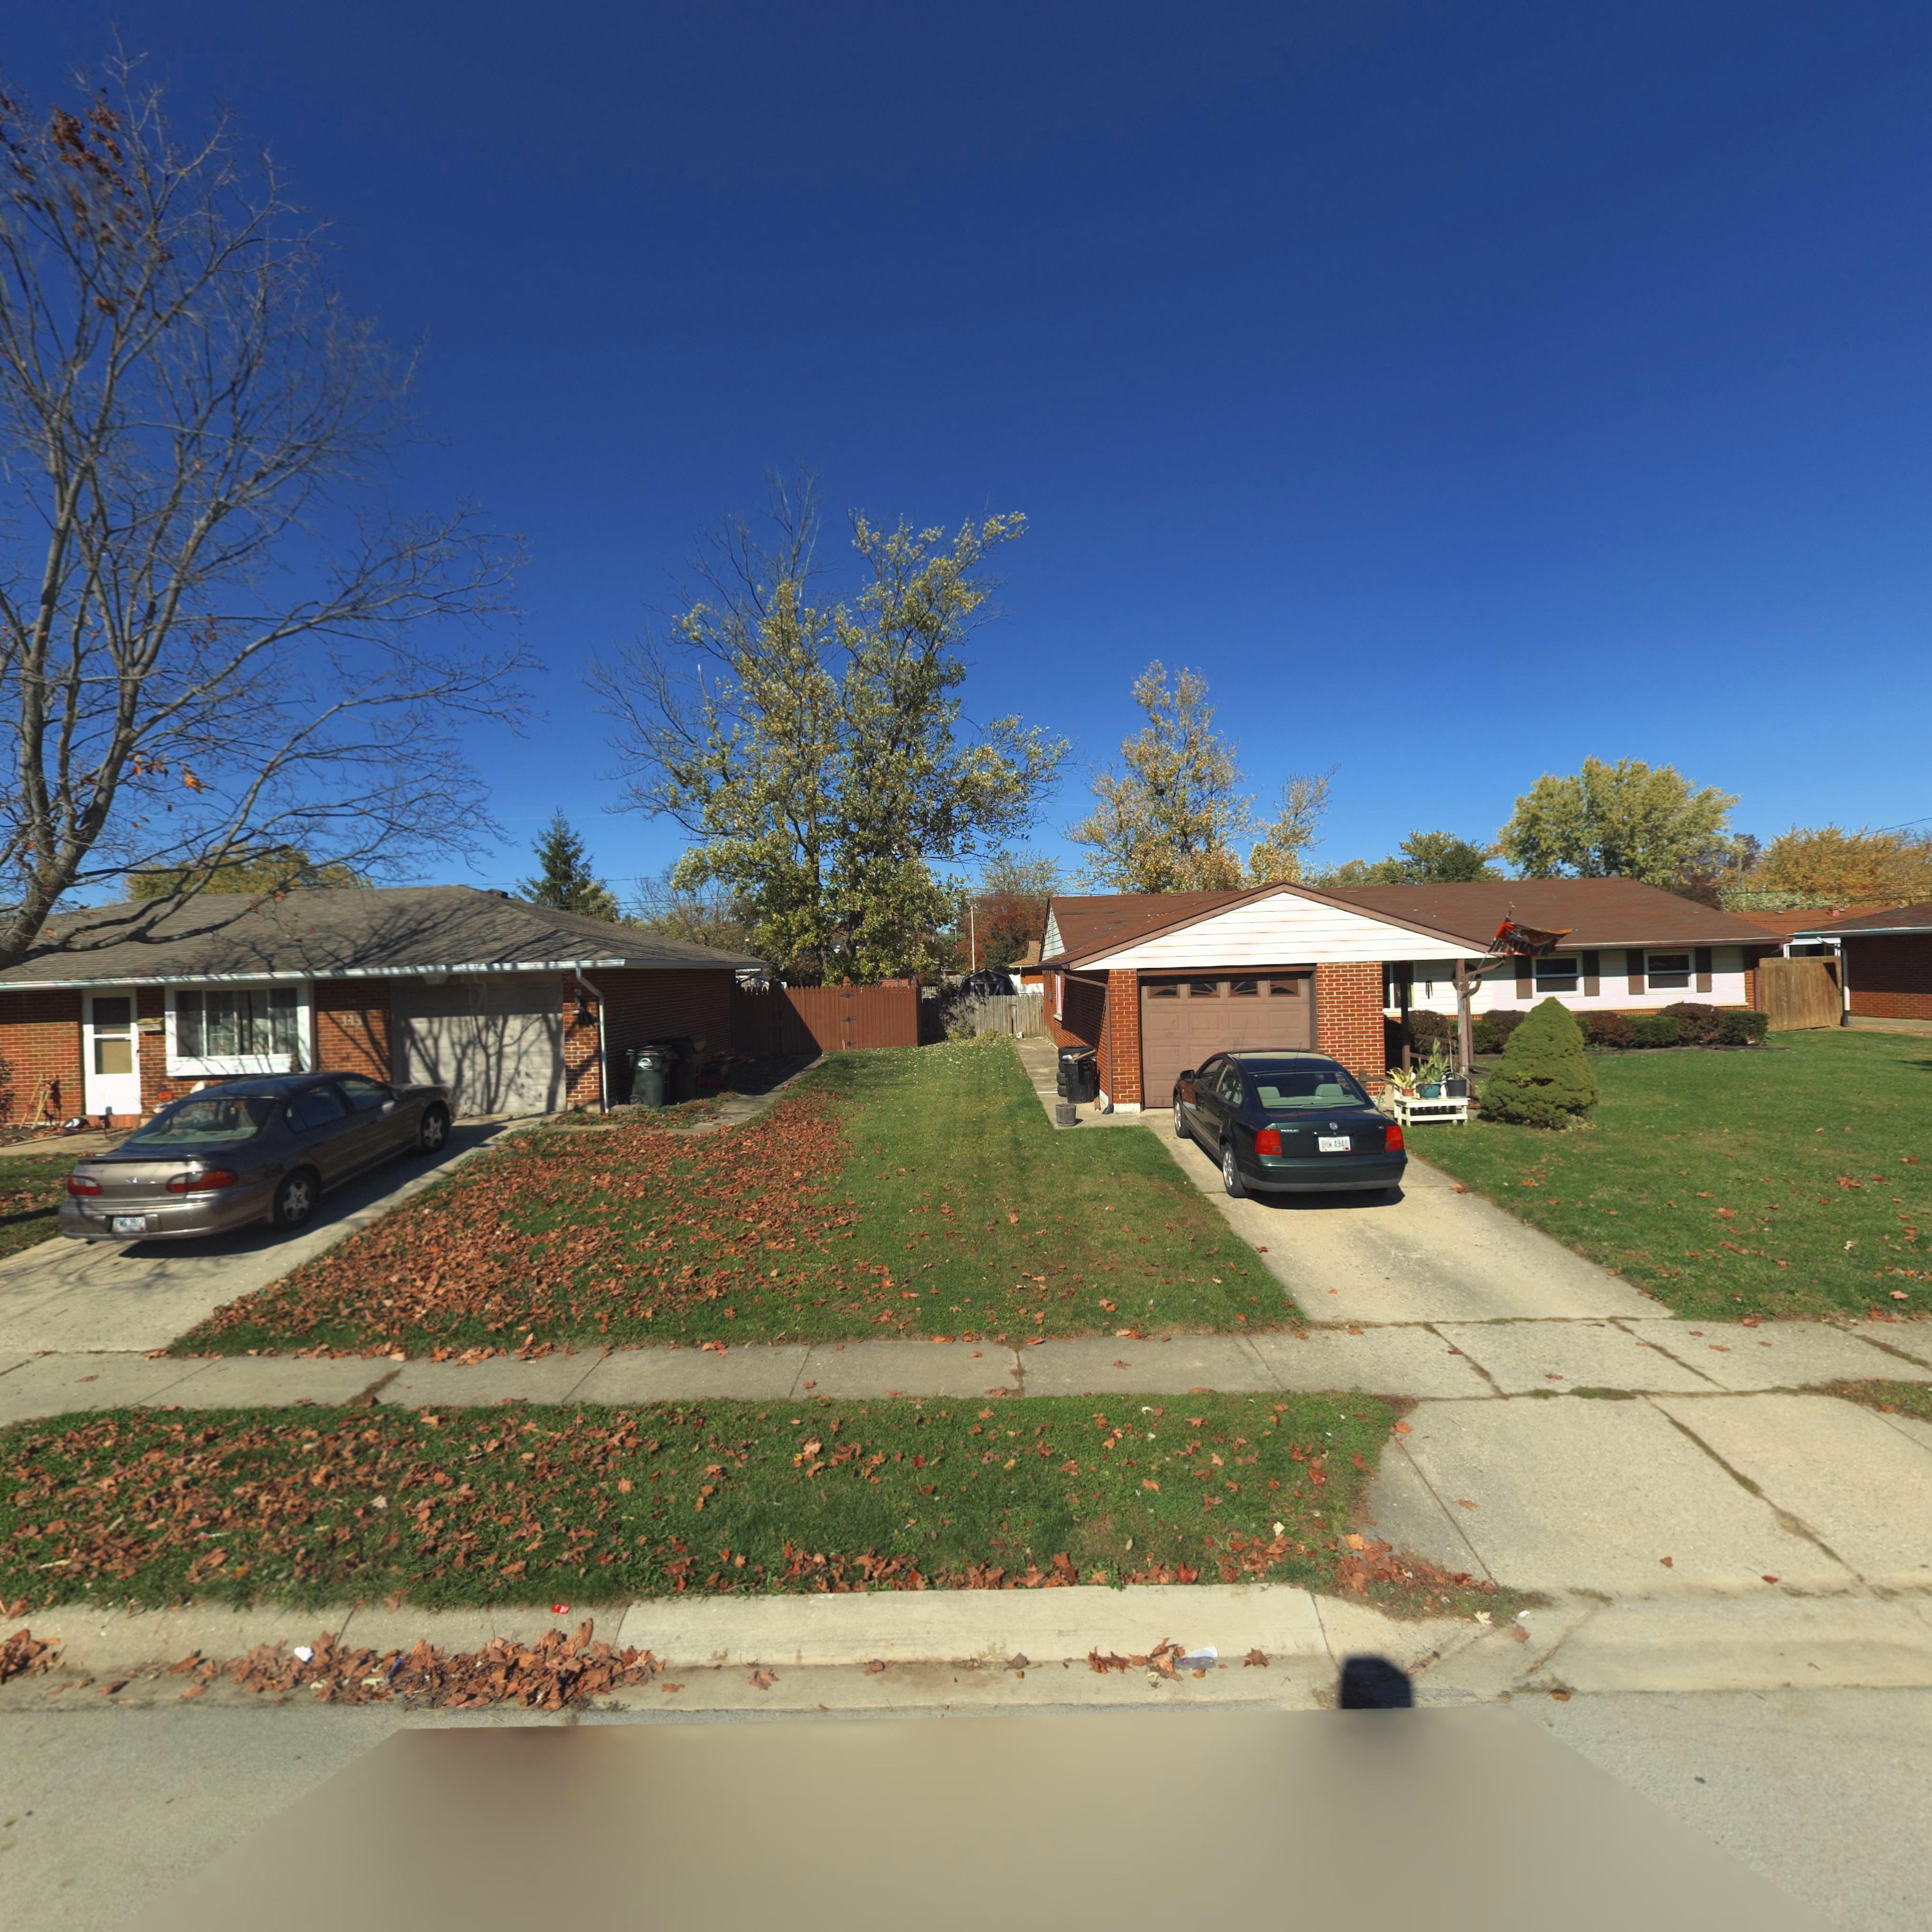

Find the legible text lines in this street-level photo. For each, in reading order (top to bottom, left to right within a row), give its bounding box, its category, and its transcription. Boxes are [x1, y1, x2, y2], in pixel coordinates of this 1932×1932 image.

[1459, 966, 1465, 992] StreetNumber: 109
[341, 1013, 365, 1027] StreetNumber: 11*